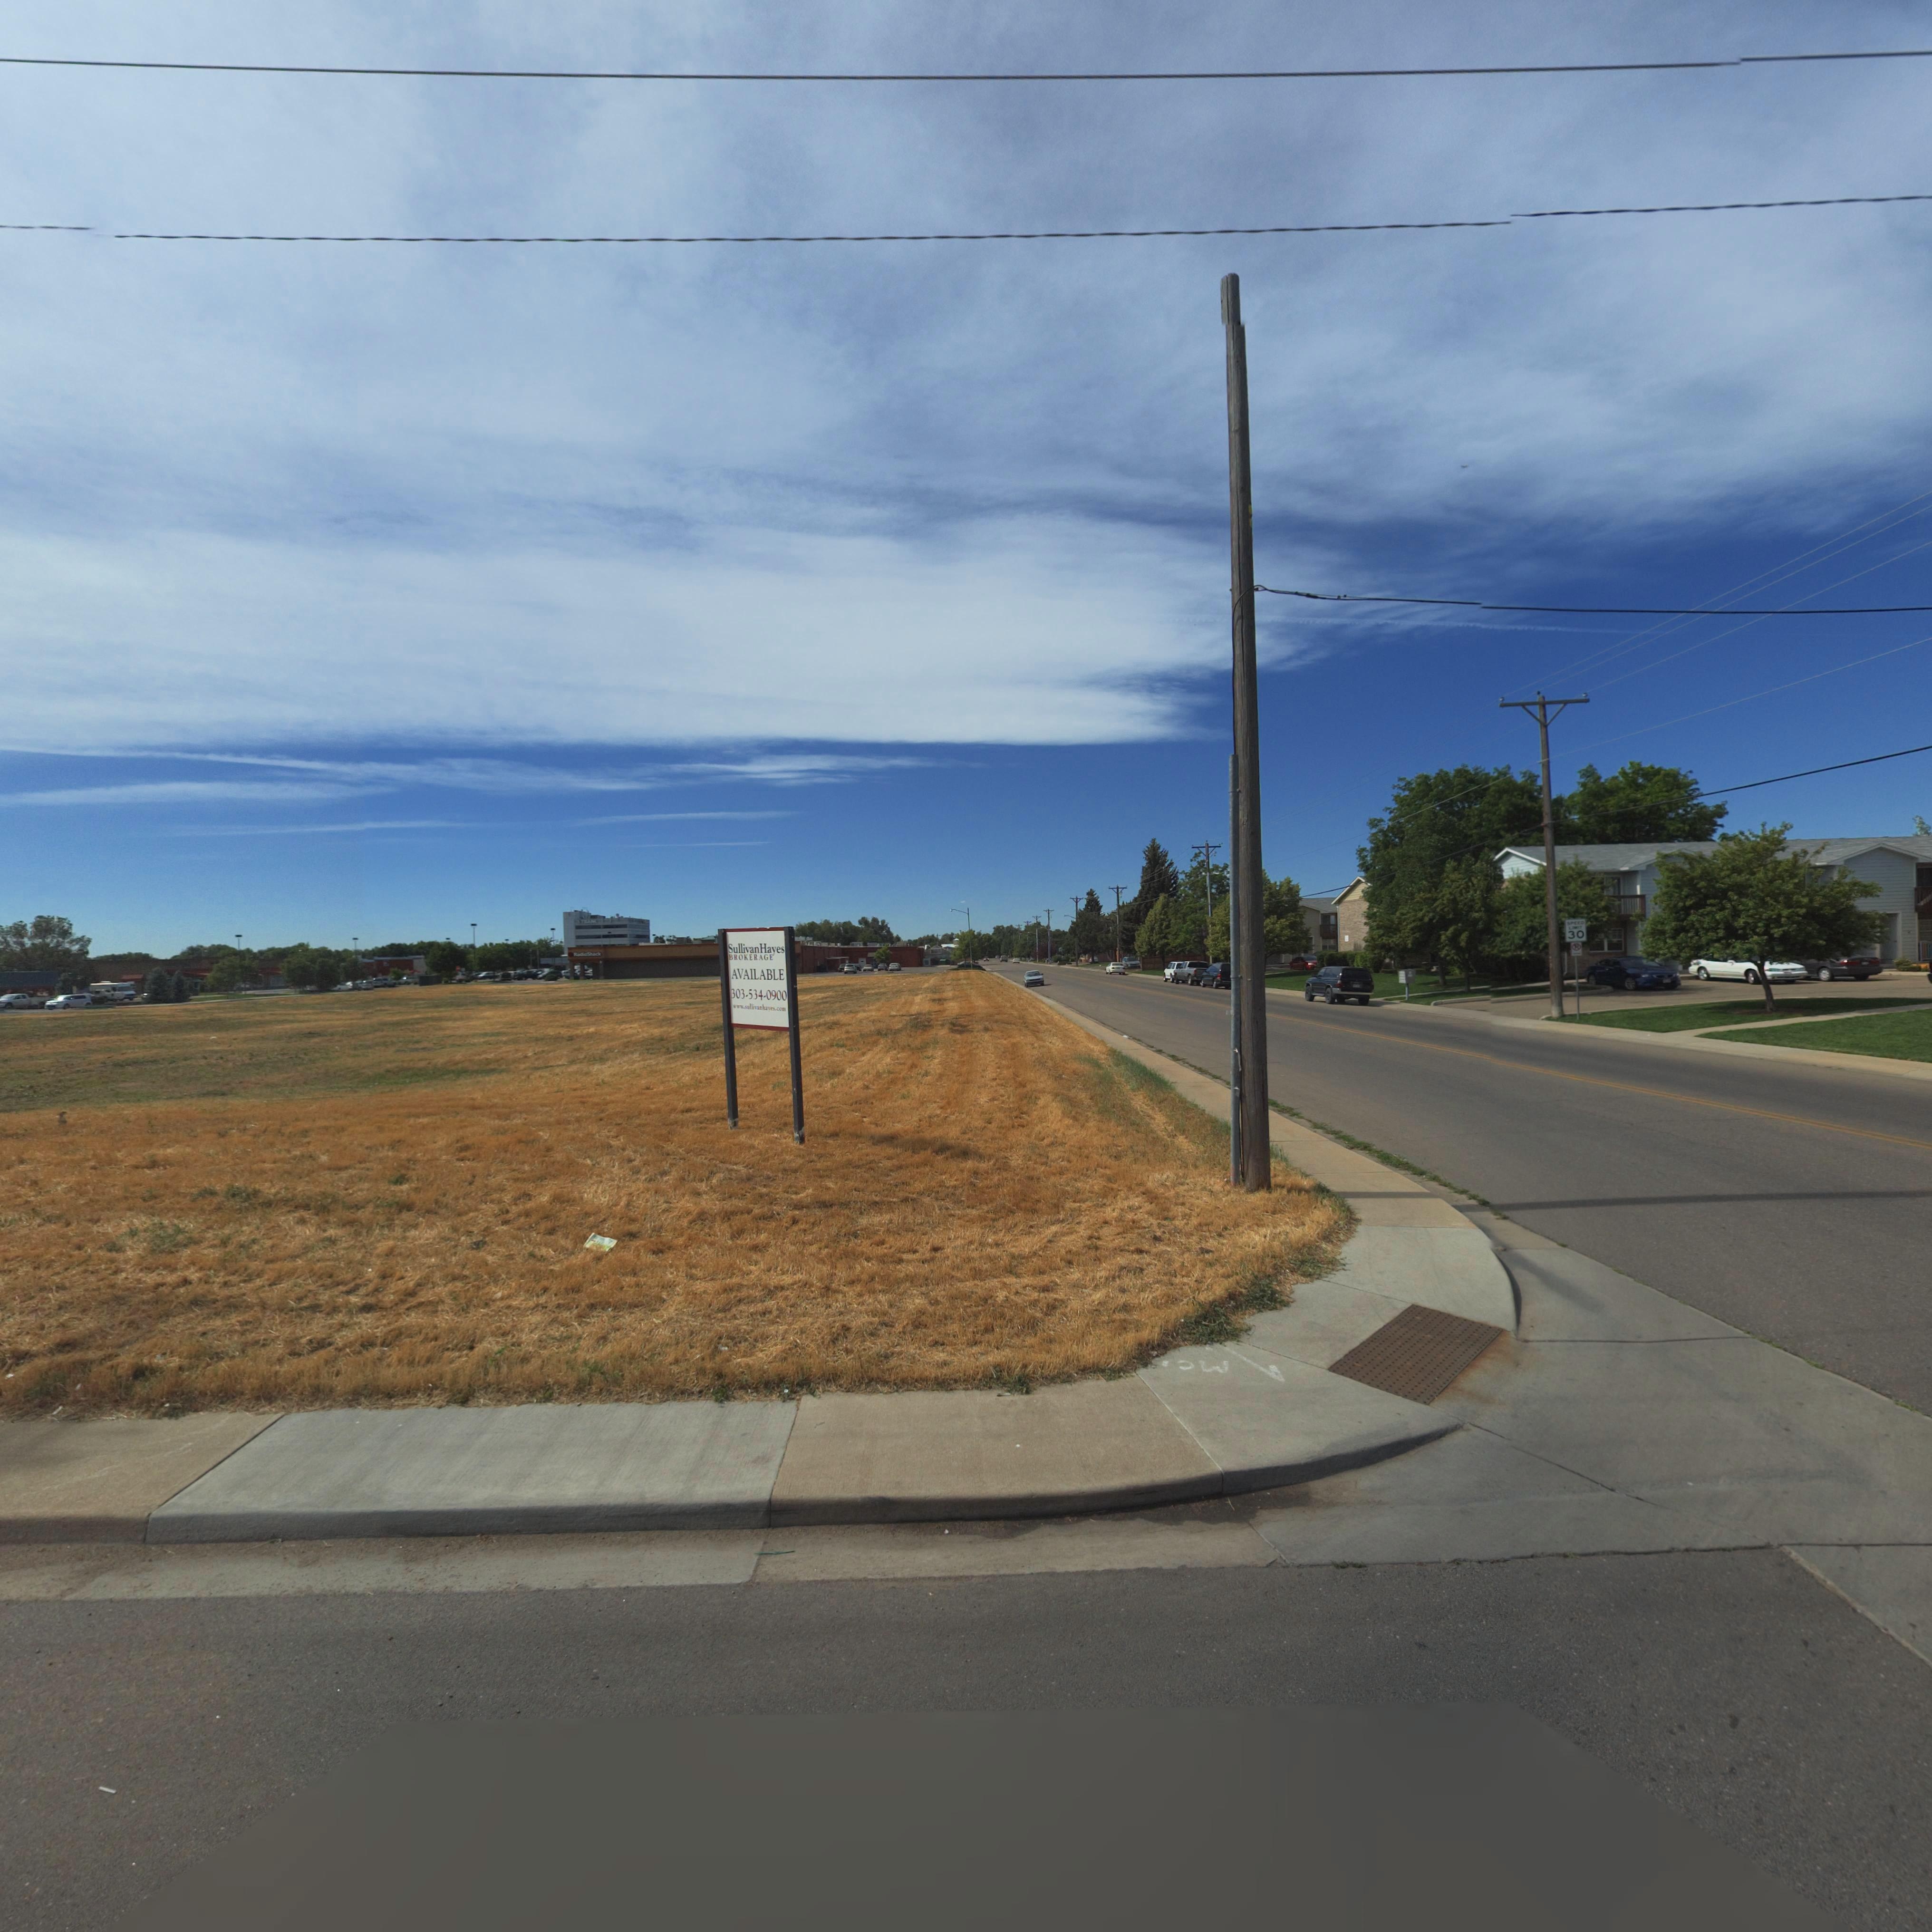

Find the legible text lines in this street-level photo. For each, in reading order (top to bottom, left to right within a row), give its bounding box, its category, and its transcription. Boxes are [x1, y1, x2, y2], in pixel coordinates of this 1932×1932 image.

[577, 919, 597, 924] BusinessName: 1*TBAN*
[573, 951, 601, 956] BusinessName: RadioSh*ck